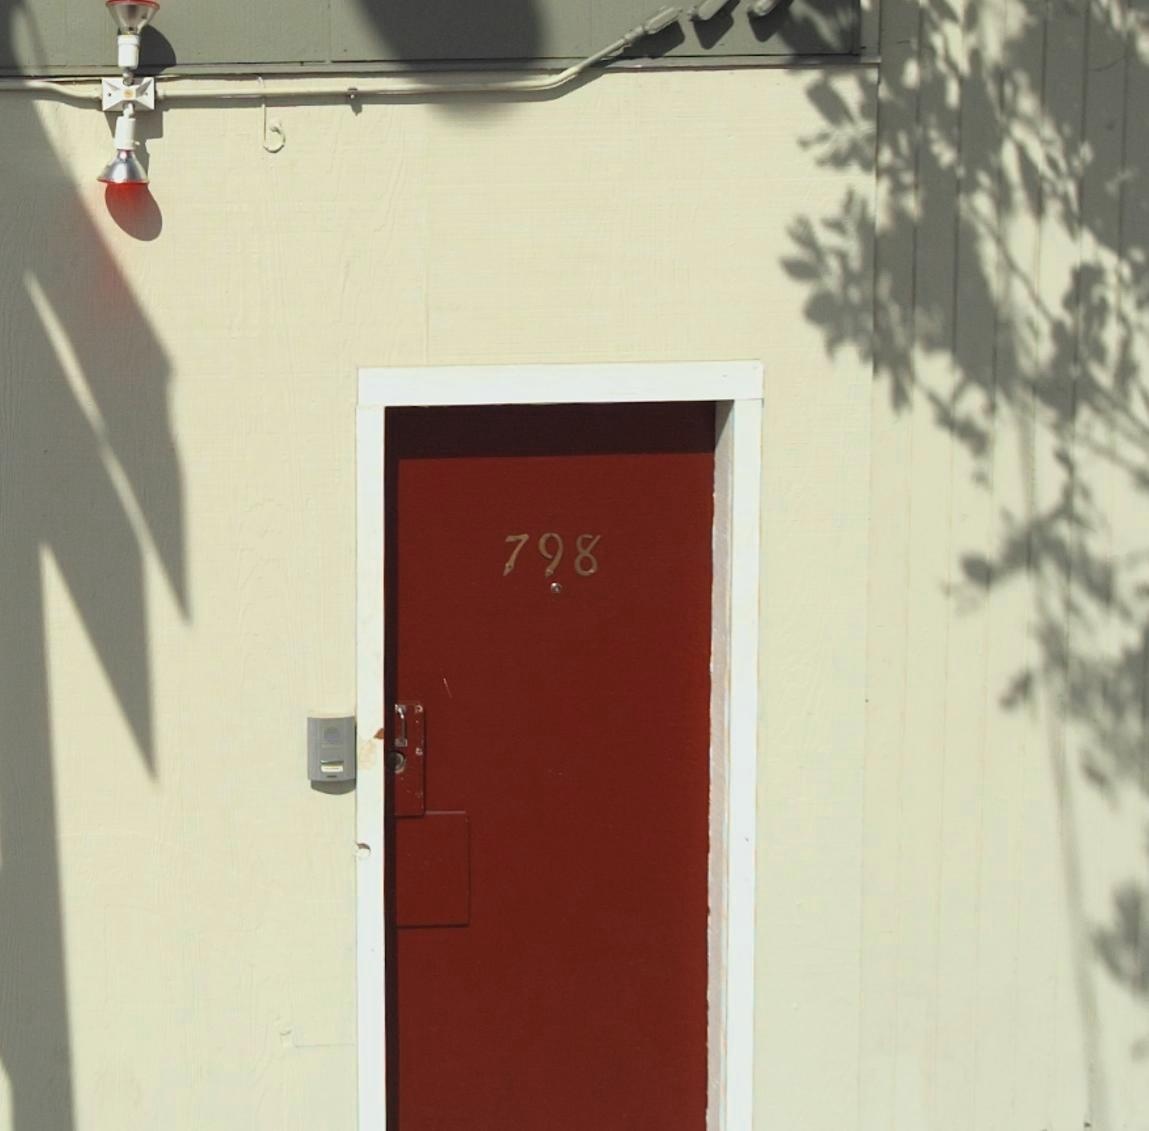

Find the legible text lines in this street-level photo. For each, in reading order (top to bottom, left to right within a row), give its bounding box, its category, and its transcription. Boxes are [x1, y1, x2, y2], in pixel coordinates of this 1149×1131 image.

[496, 527, 604, 582] StreetNumber: 798